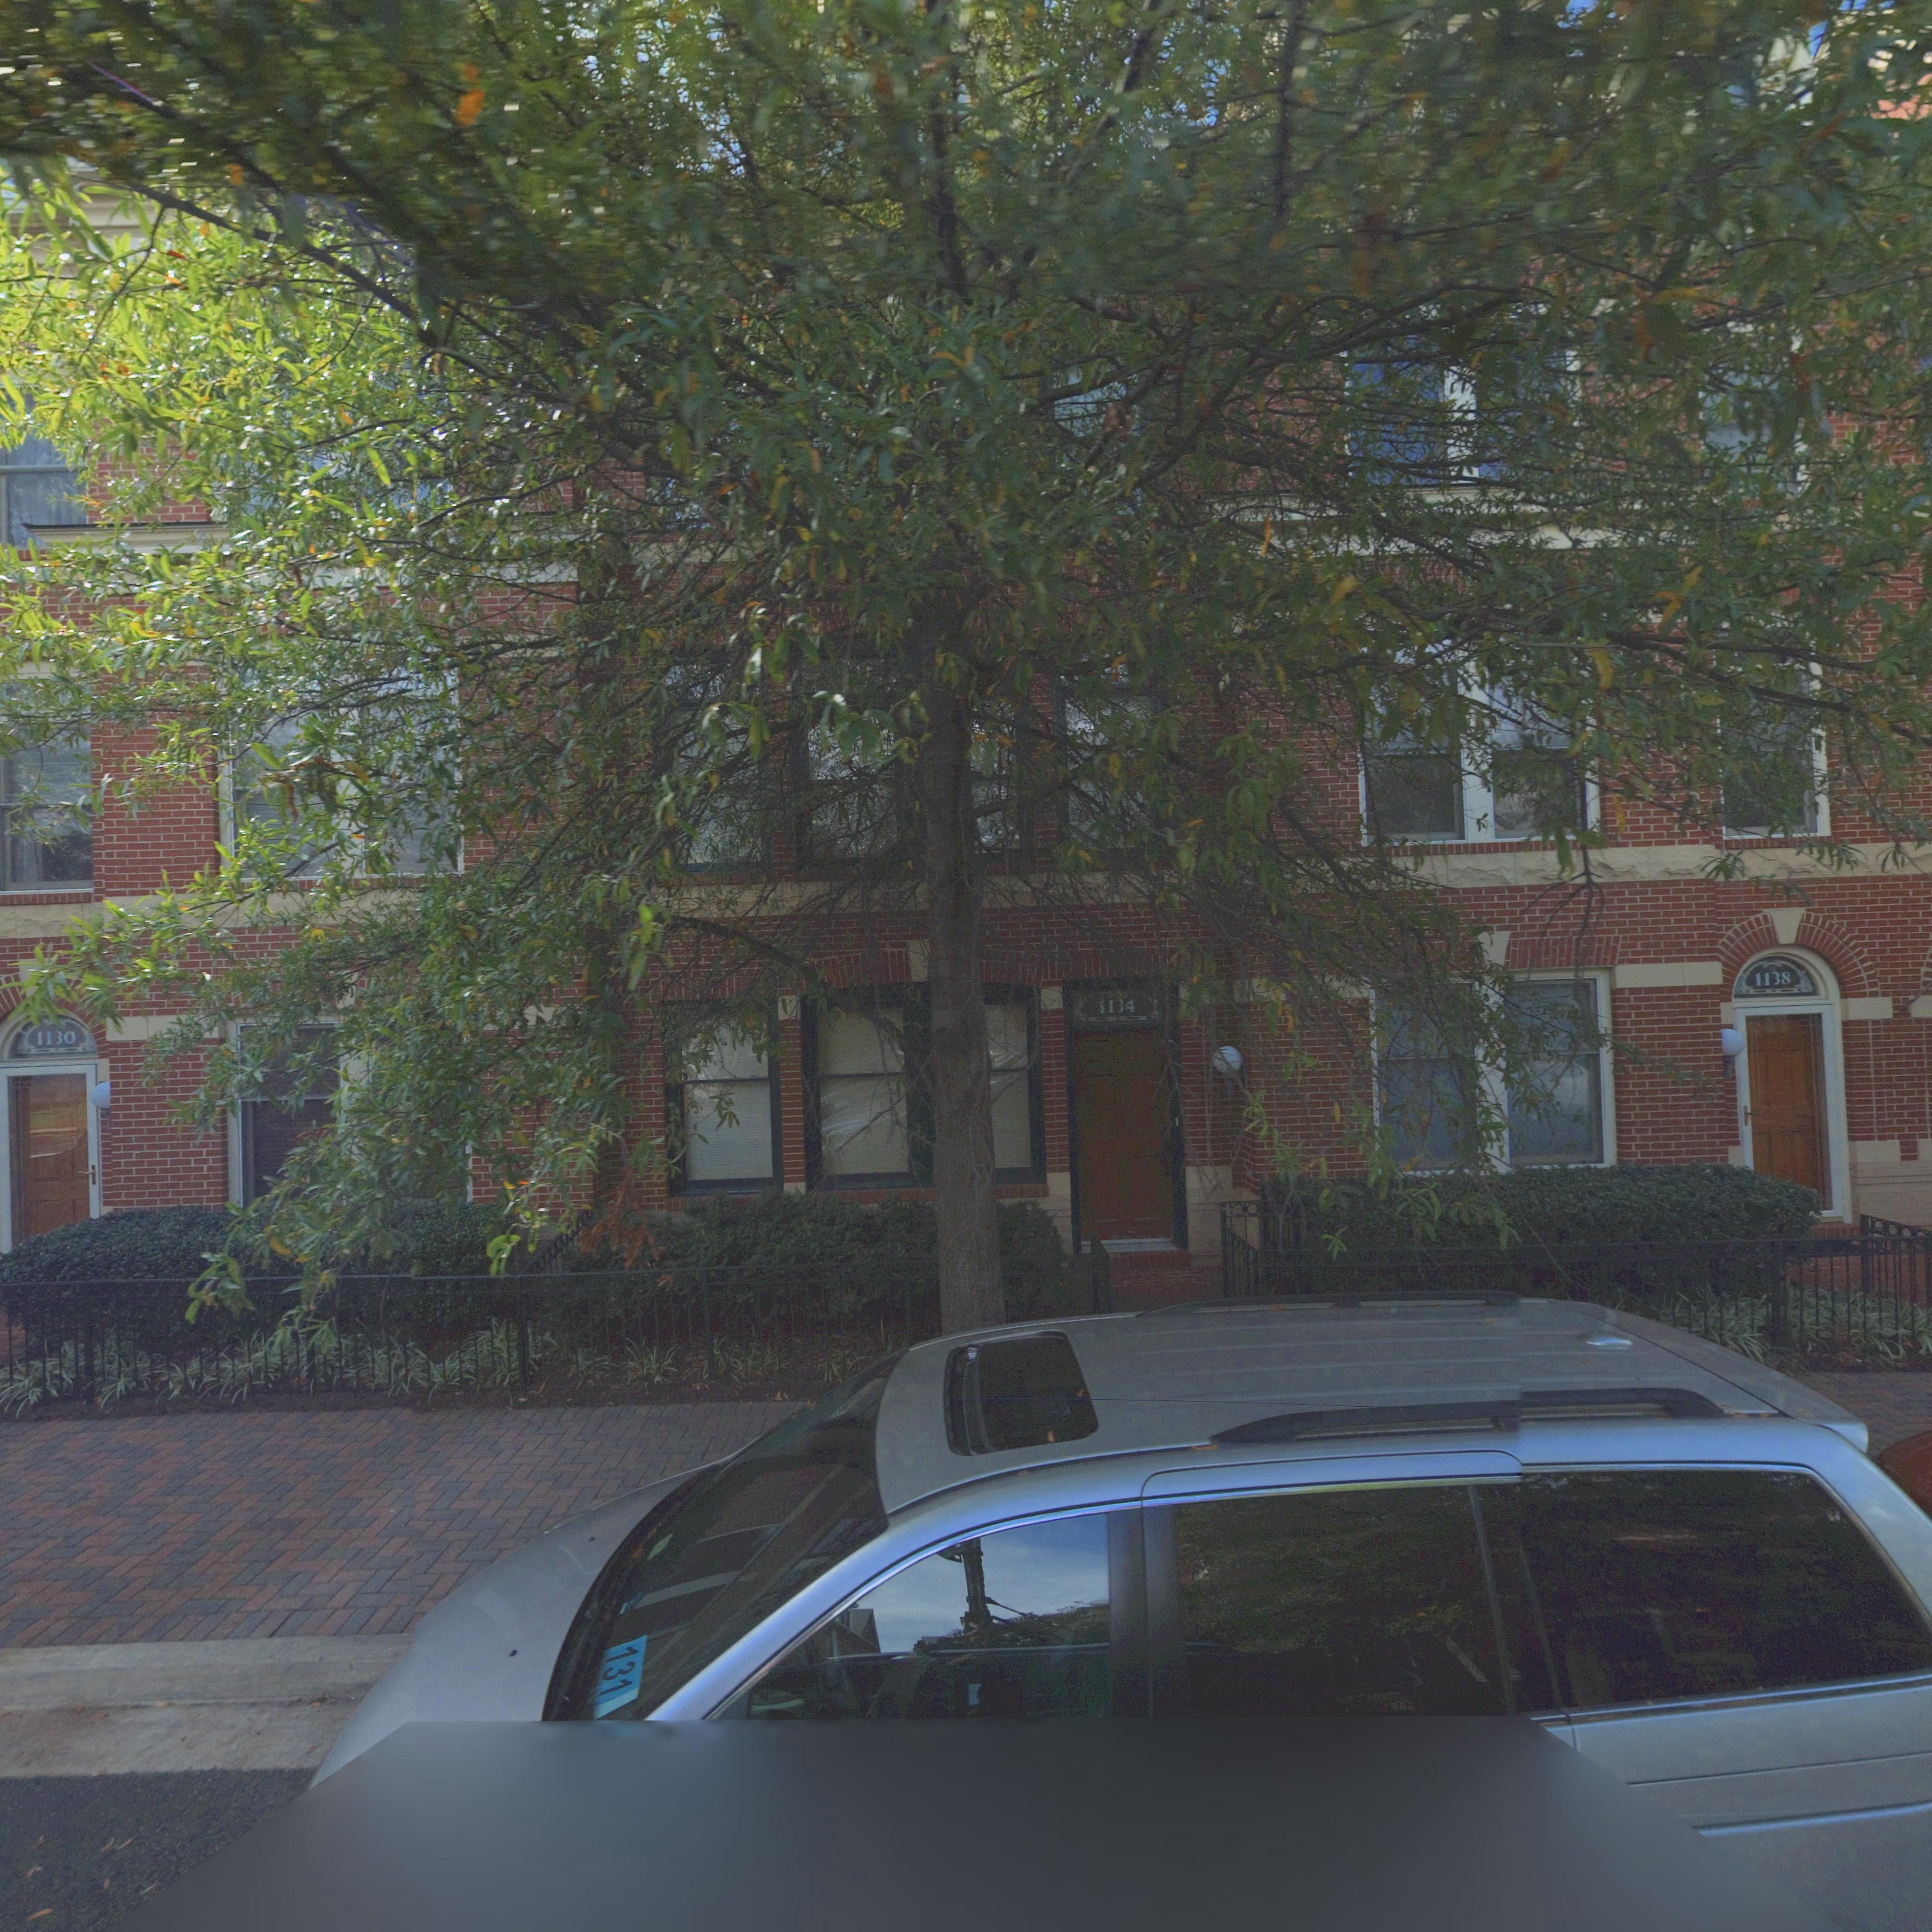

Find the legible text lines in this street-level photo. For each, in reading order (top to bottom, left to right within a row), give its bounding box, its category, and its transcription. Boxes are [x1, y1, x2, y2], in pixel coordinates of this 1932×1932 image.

[1754, 970, 1793, 988] StreetNumber: 1138
[1098, 997, 1138, 1014] StreetNumber: 1134
[35, 1029, 77, 1047] StreetNumber: 1130